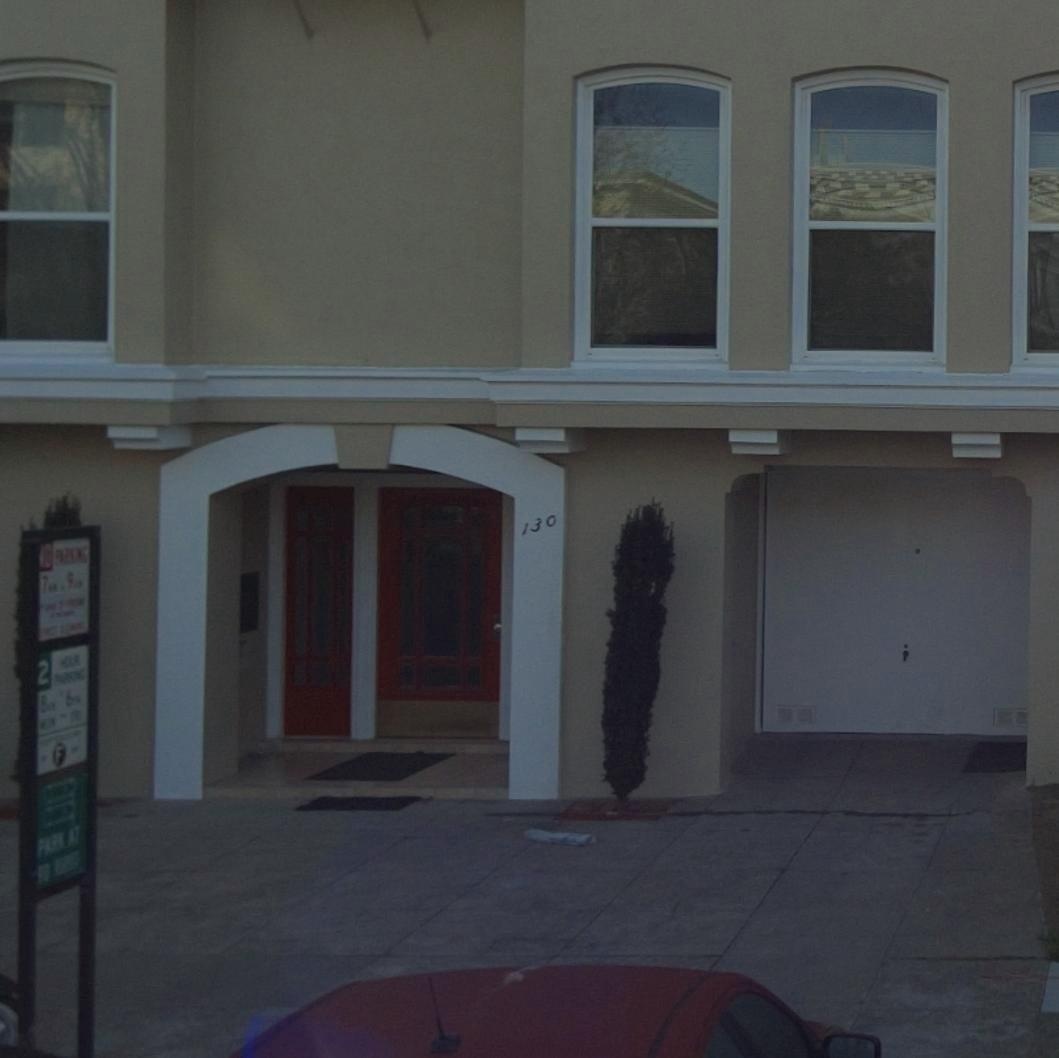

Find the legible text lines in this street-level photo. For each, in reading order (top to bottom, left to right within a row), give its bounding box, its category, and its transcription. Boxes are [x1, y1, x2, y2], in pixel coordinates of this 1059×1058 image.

[518, 510, 559, 539] StreetNumber: 130
[42, 541, 55, 572] None: O
[40, 572, 51, 594] None: 7
[64, 568, 76, 591] None: 9
[36, 657, 52, 688] None: 2
[62, 686, 76, 710] None: 6
[53, 742, 66, 768] None: F